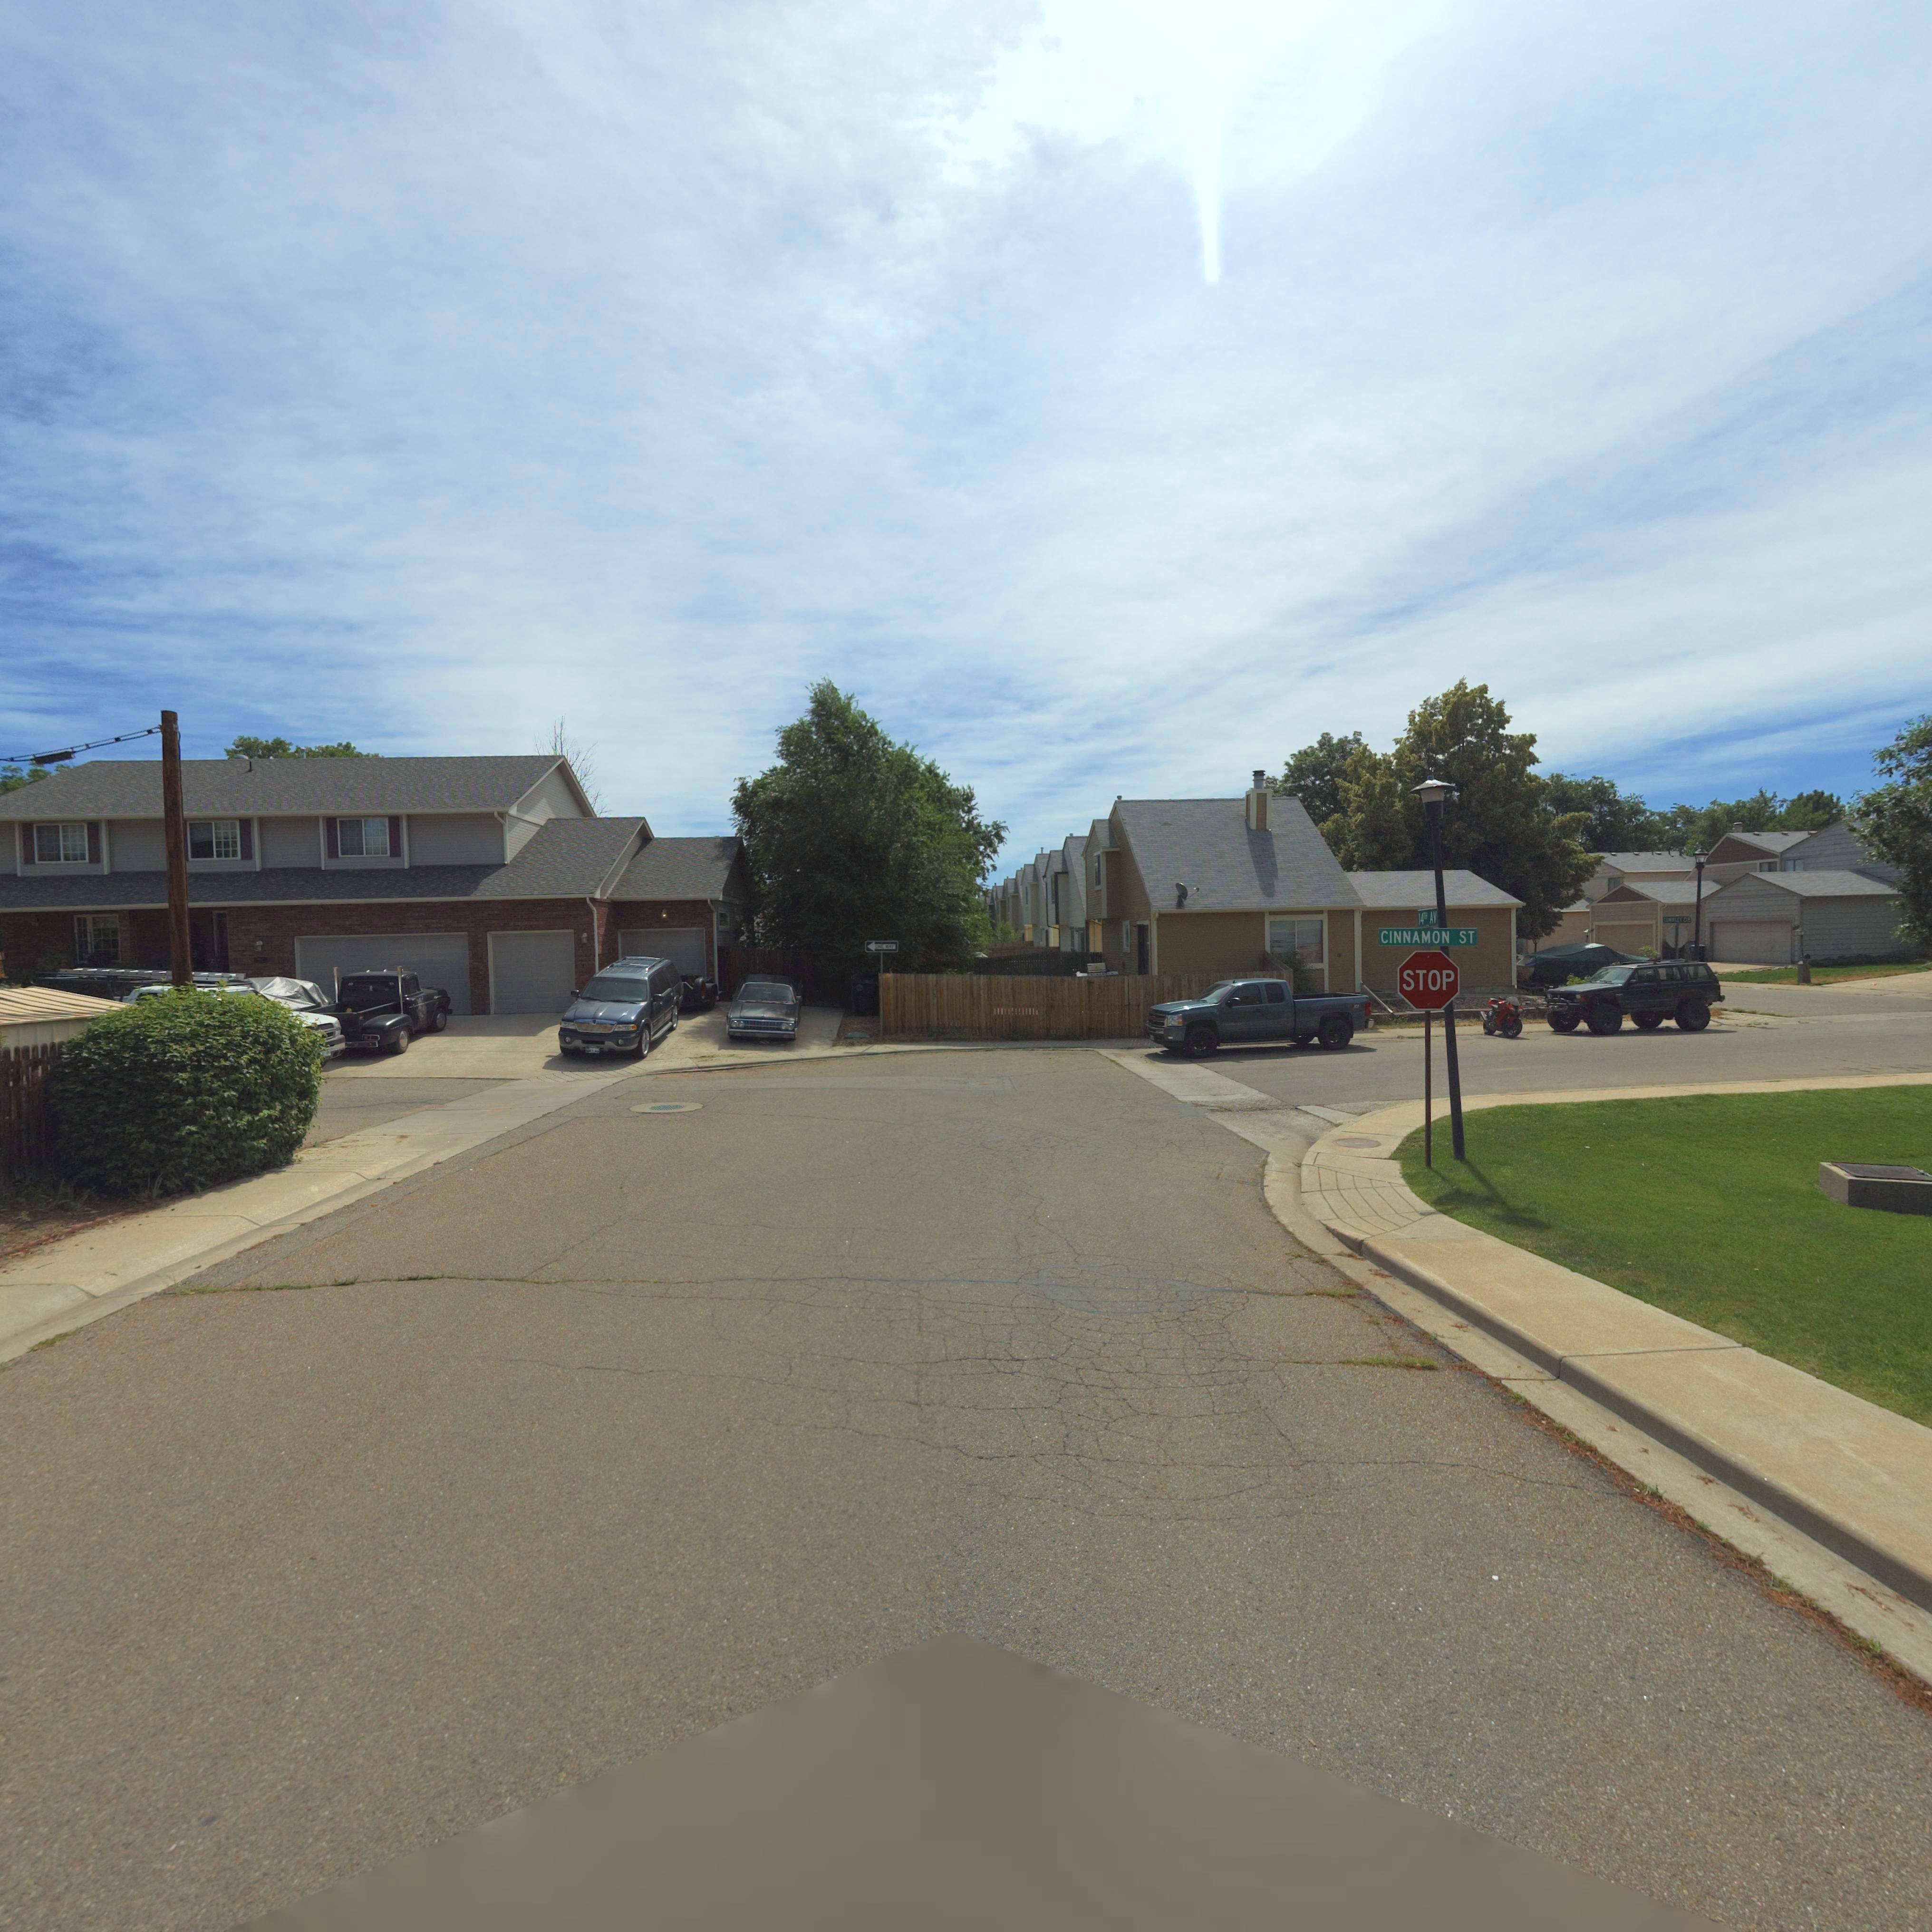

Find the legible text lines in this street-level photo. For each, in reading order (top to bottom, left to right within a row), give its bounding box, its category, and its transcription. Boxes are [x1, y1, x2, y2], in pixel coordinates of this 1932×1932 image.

[1418, 910, 1437, 926] StreetName: 14TH AV
[1663, 917, 1690, 922] StreetName: **WNLEY CIR
[1381, 930, 1475, 944] StreetName: CINNAMON ST